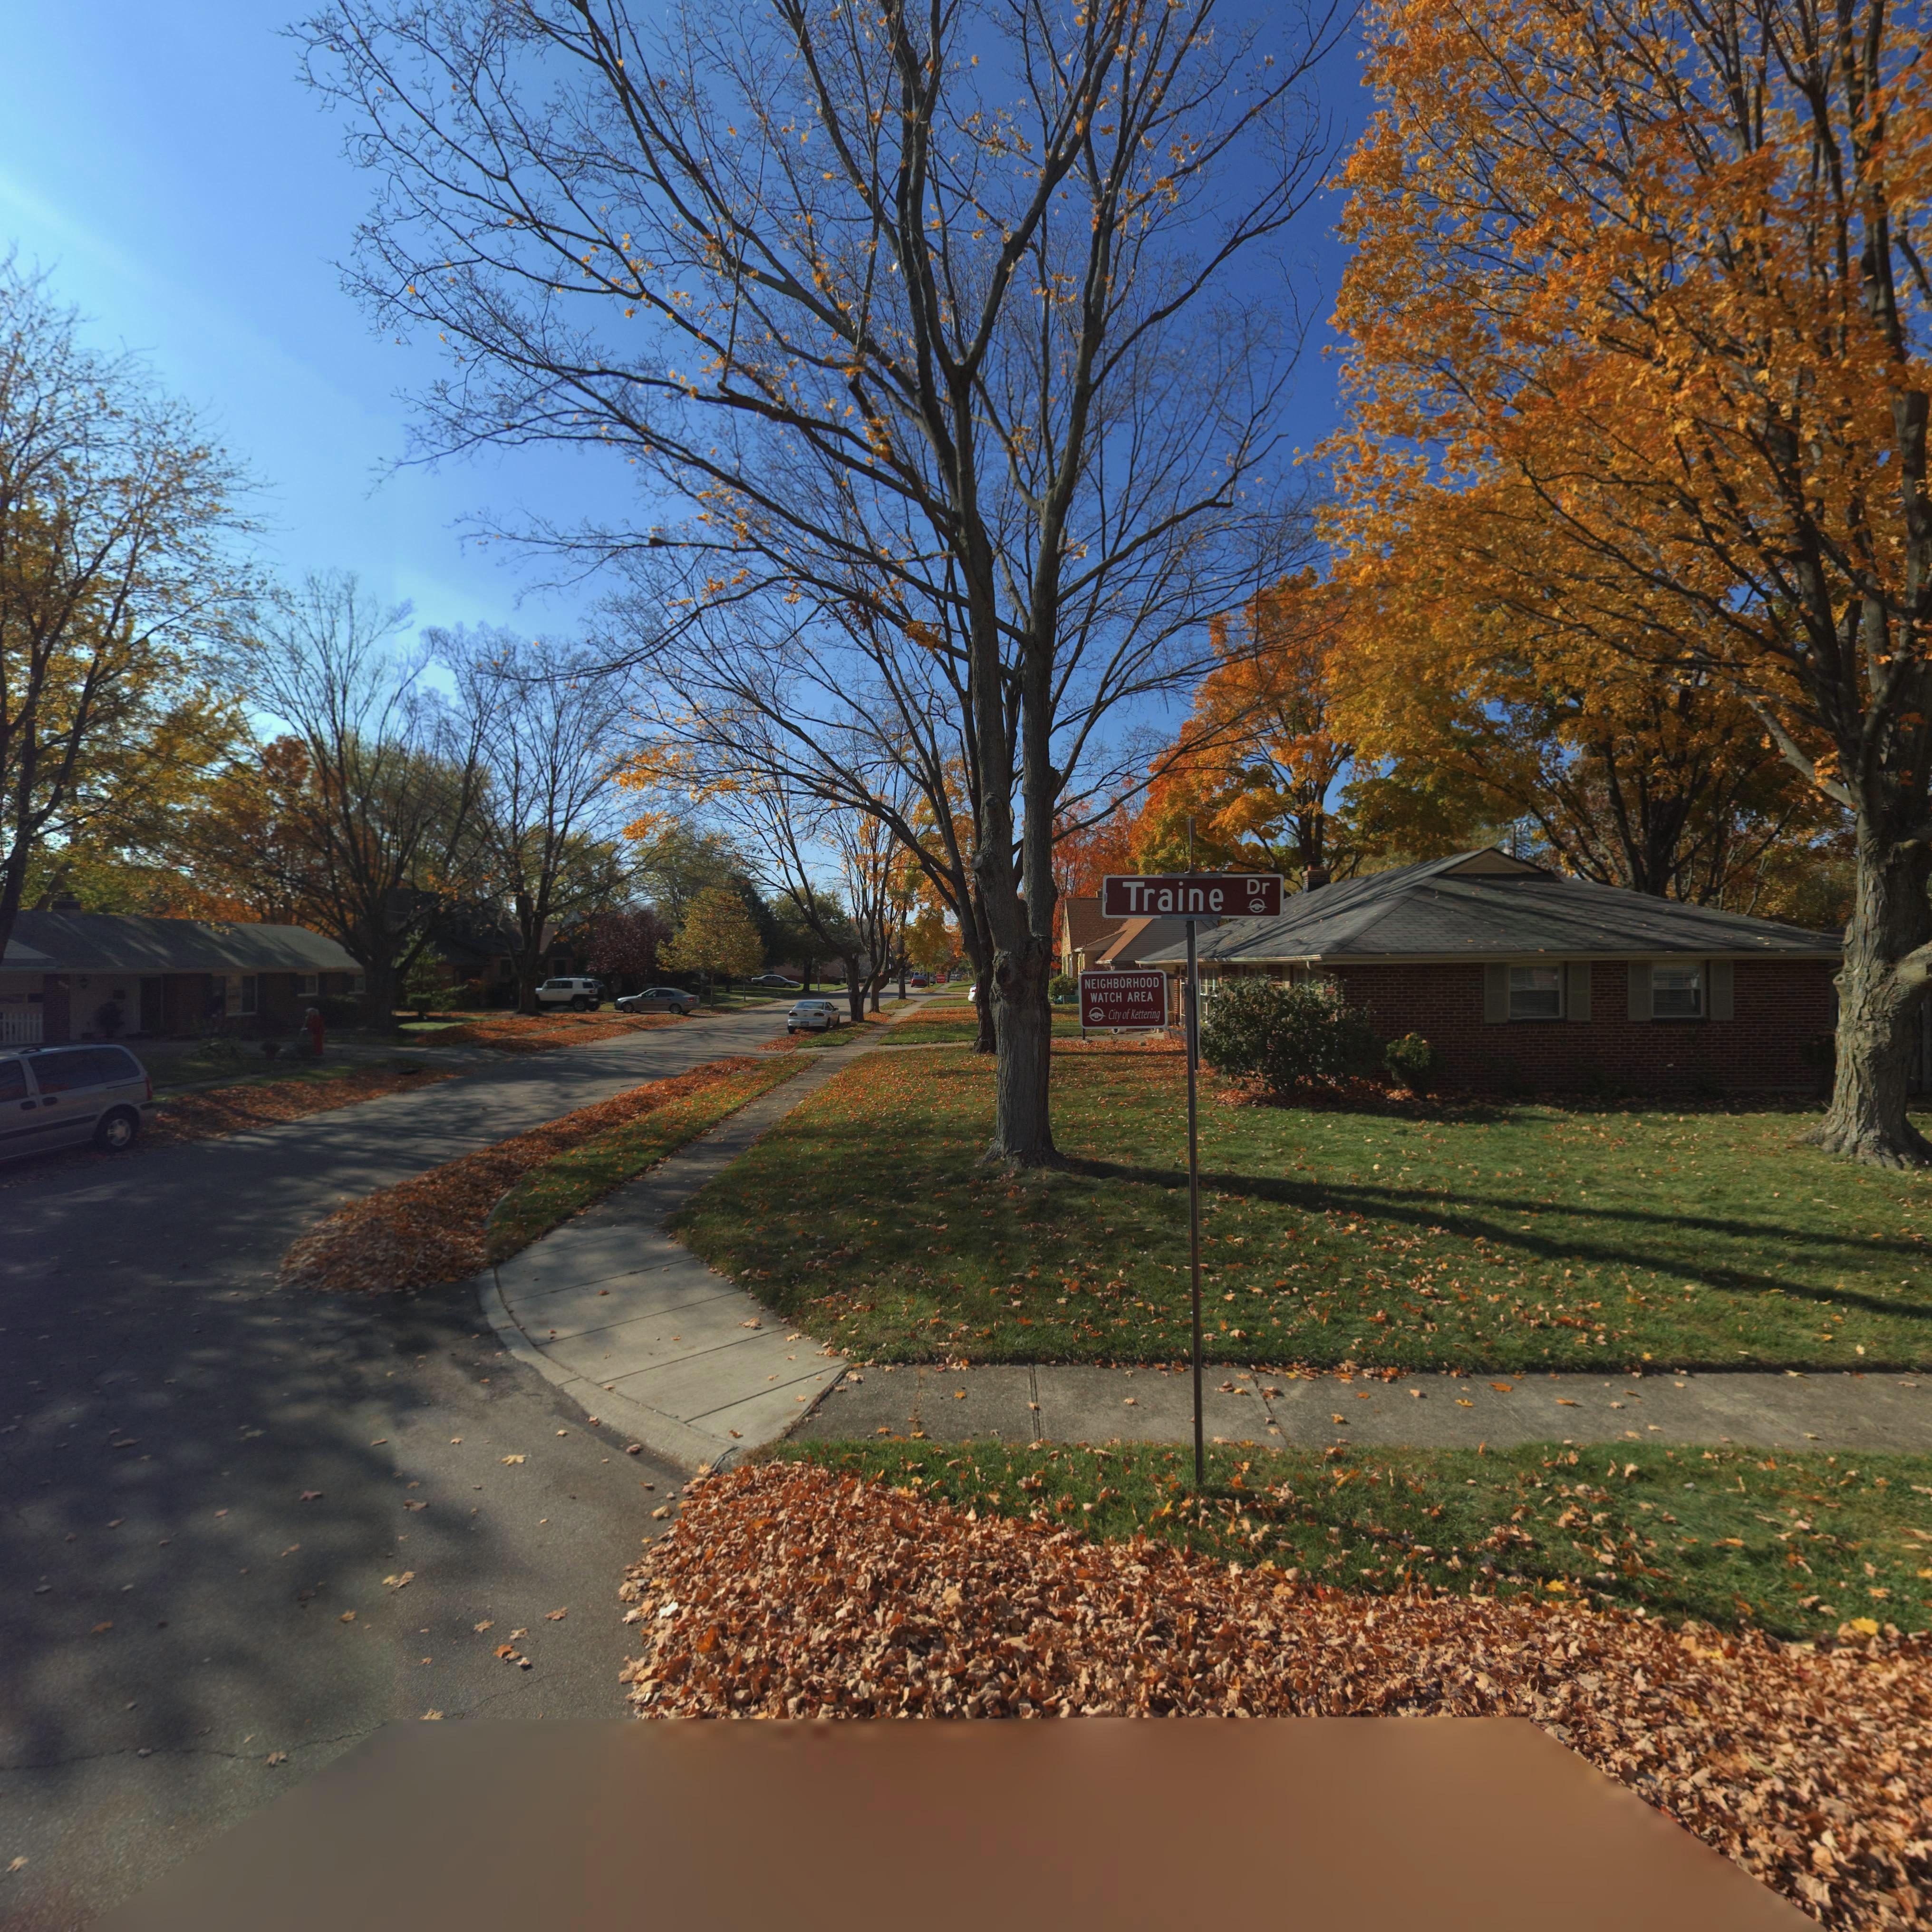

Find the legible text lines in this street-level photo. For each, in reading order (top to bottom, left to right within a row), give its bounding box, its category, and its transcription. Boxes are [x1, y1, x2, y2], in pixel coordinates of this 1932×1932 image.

[1121, 877, 1272, 913] StreetName: Traine Dr
[1084, 976, 1160, 990] None: NEIGHBORHOOD
[1089, 990, 1154, 1005] None: WATCH AREA
[1108, 1007, 1161, 1024] None: City of Kettering